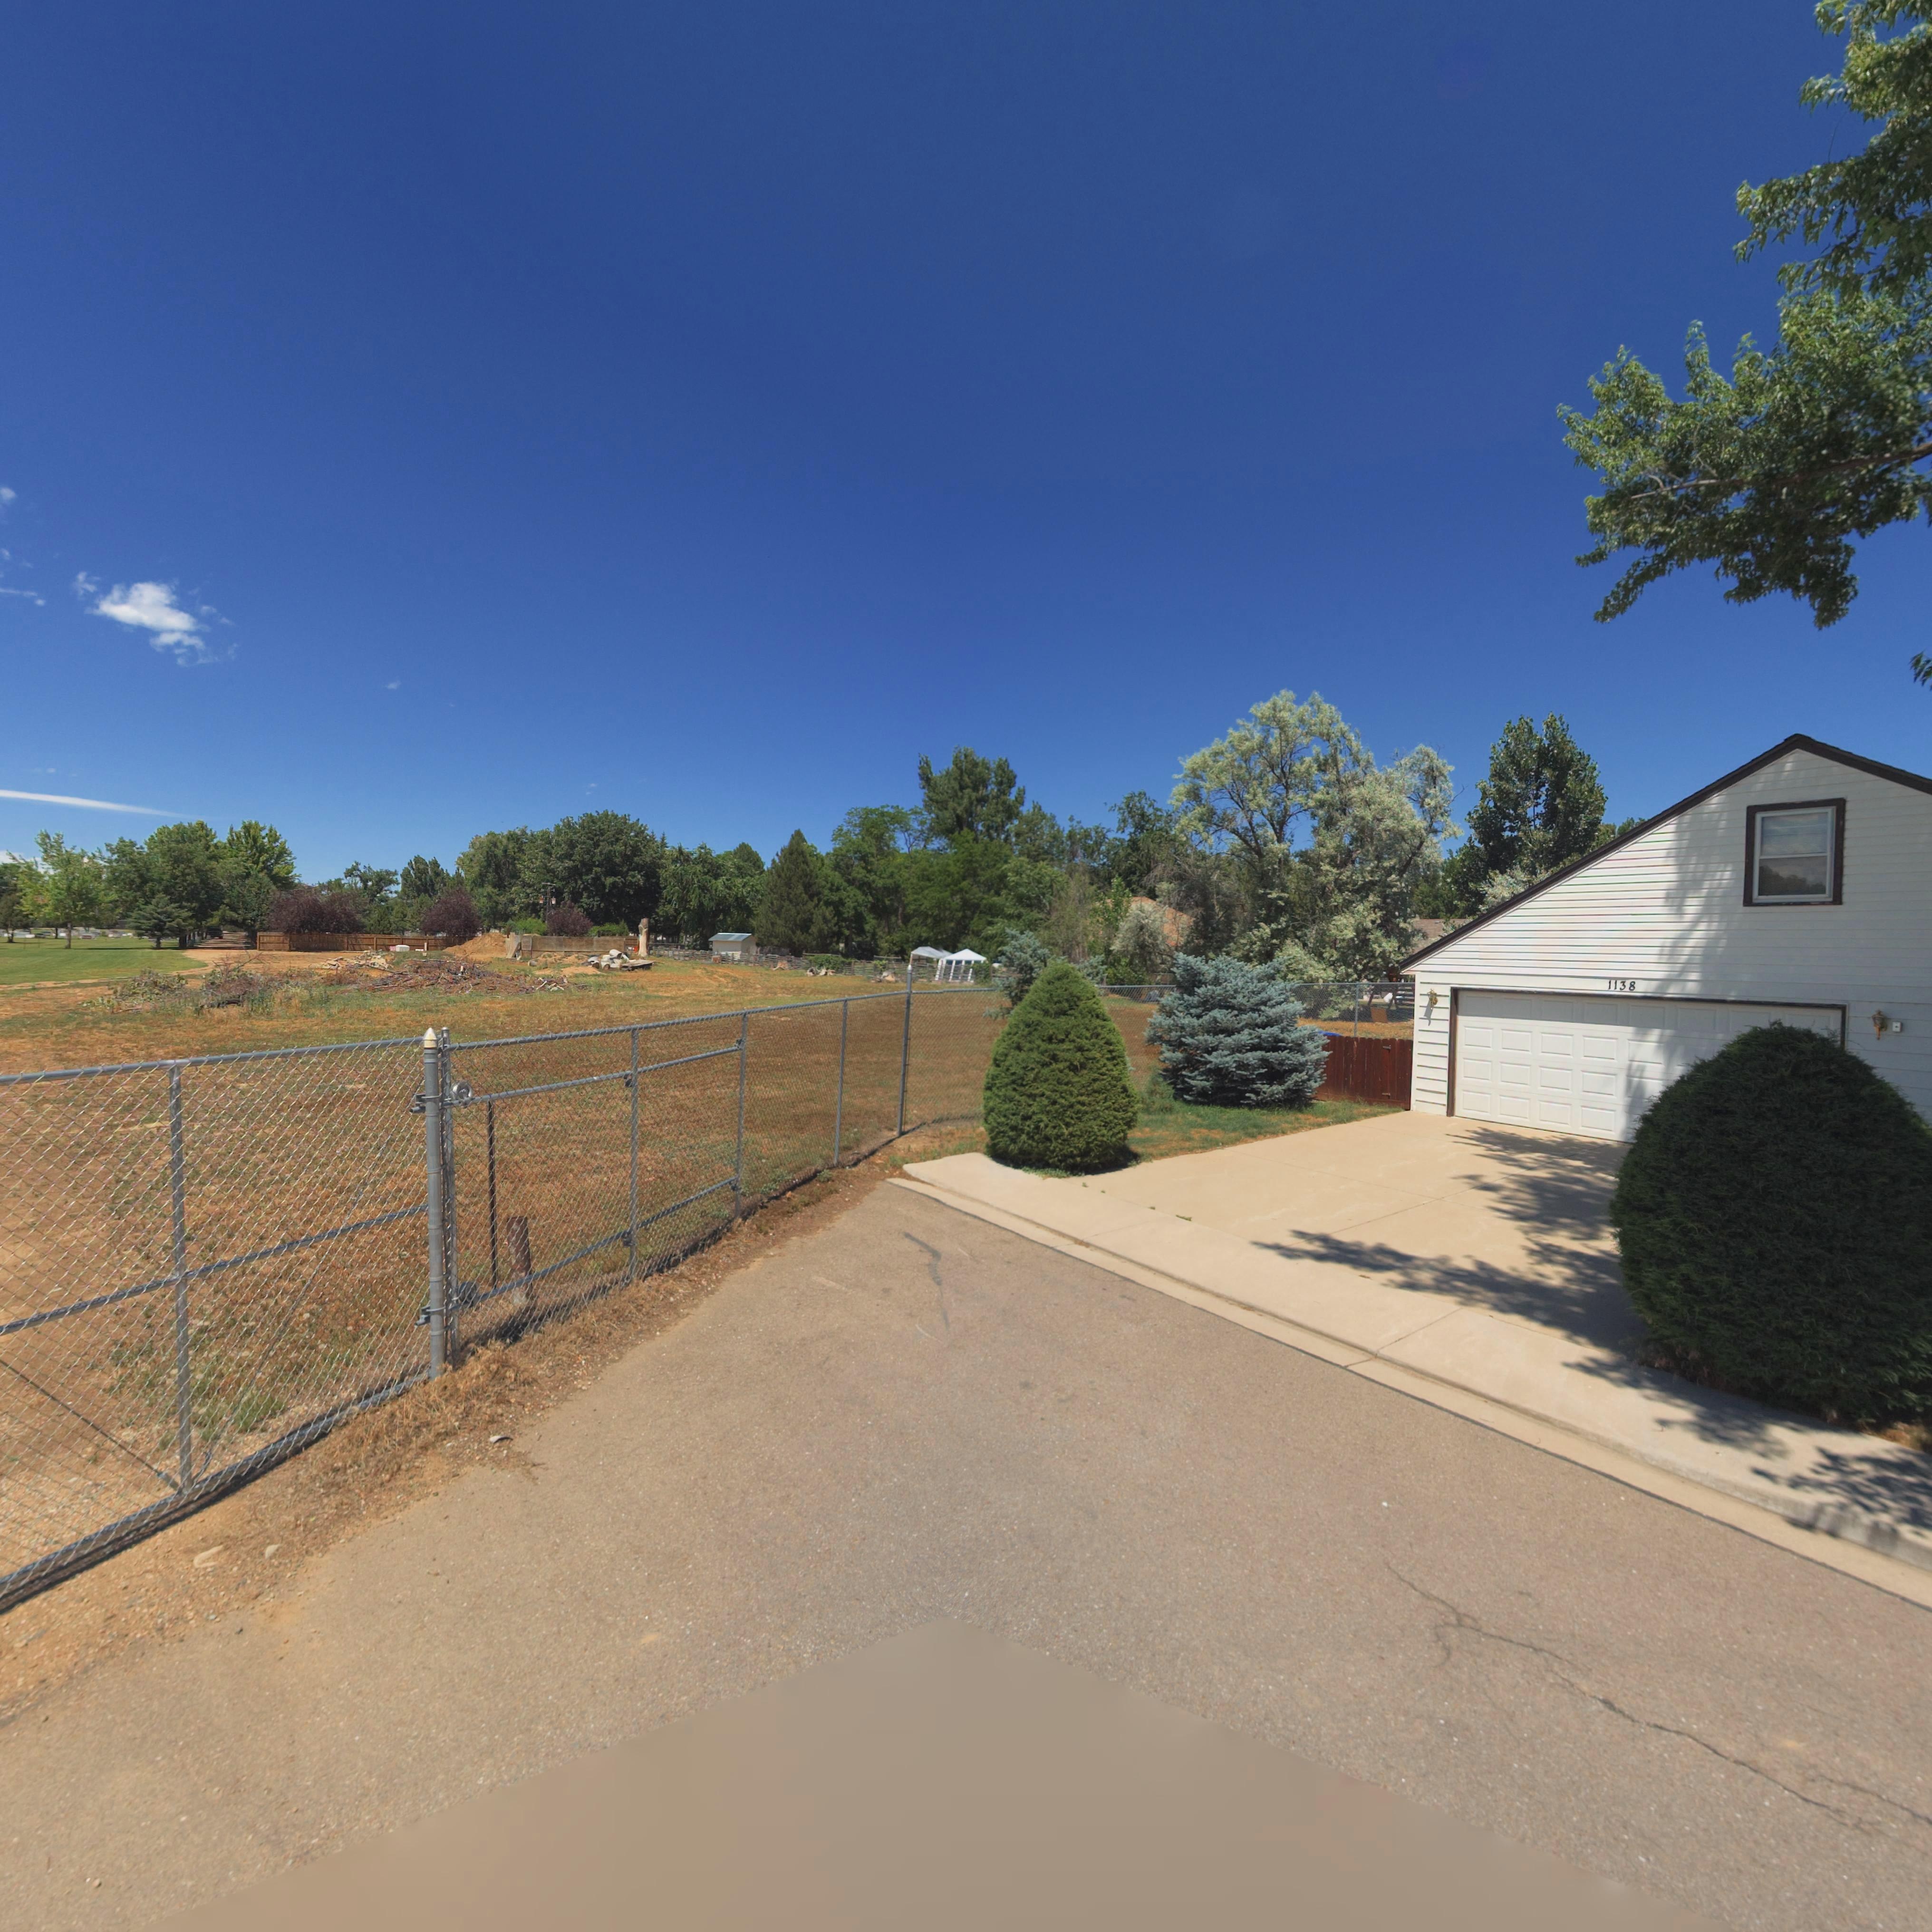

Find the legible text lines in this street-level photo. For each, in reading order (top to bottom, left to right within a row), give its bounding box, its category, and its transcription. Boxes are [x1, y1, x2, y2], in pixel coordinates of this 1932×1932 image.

[1608, 980, 1636, 991] StreetNumber: 1138